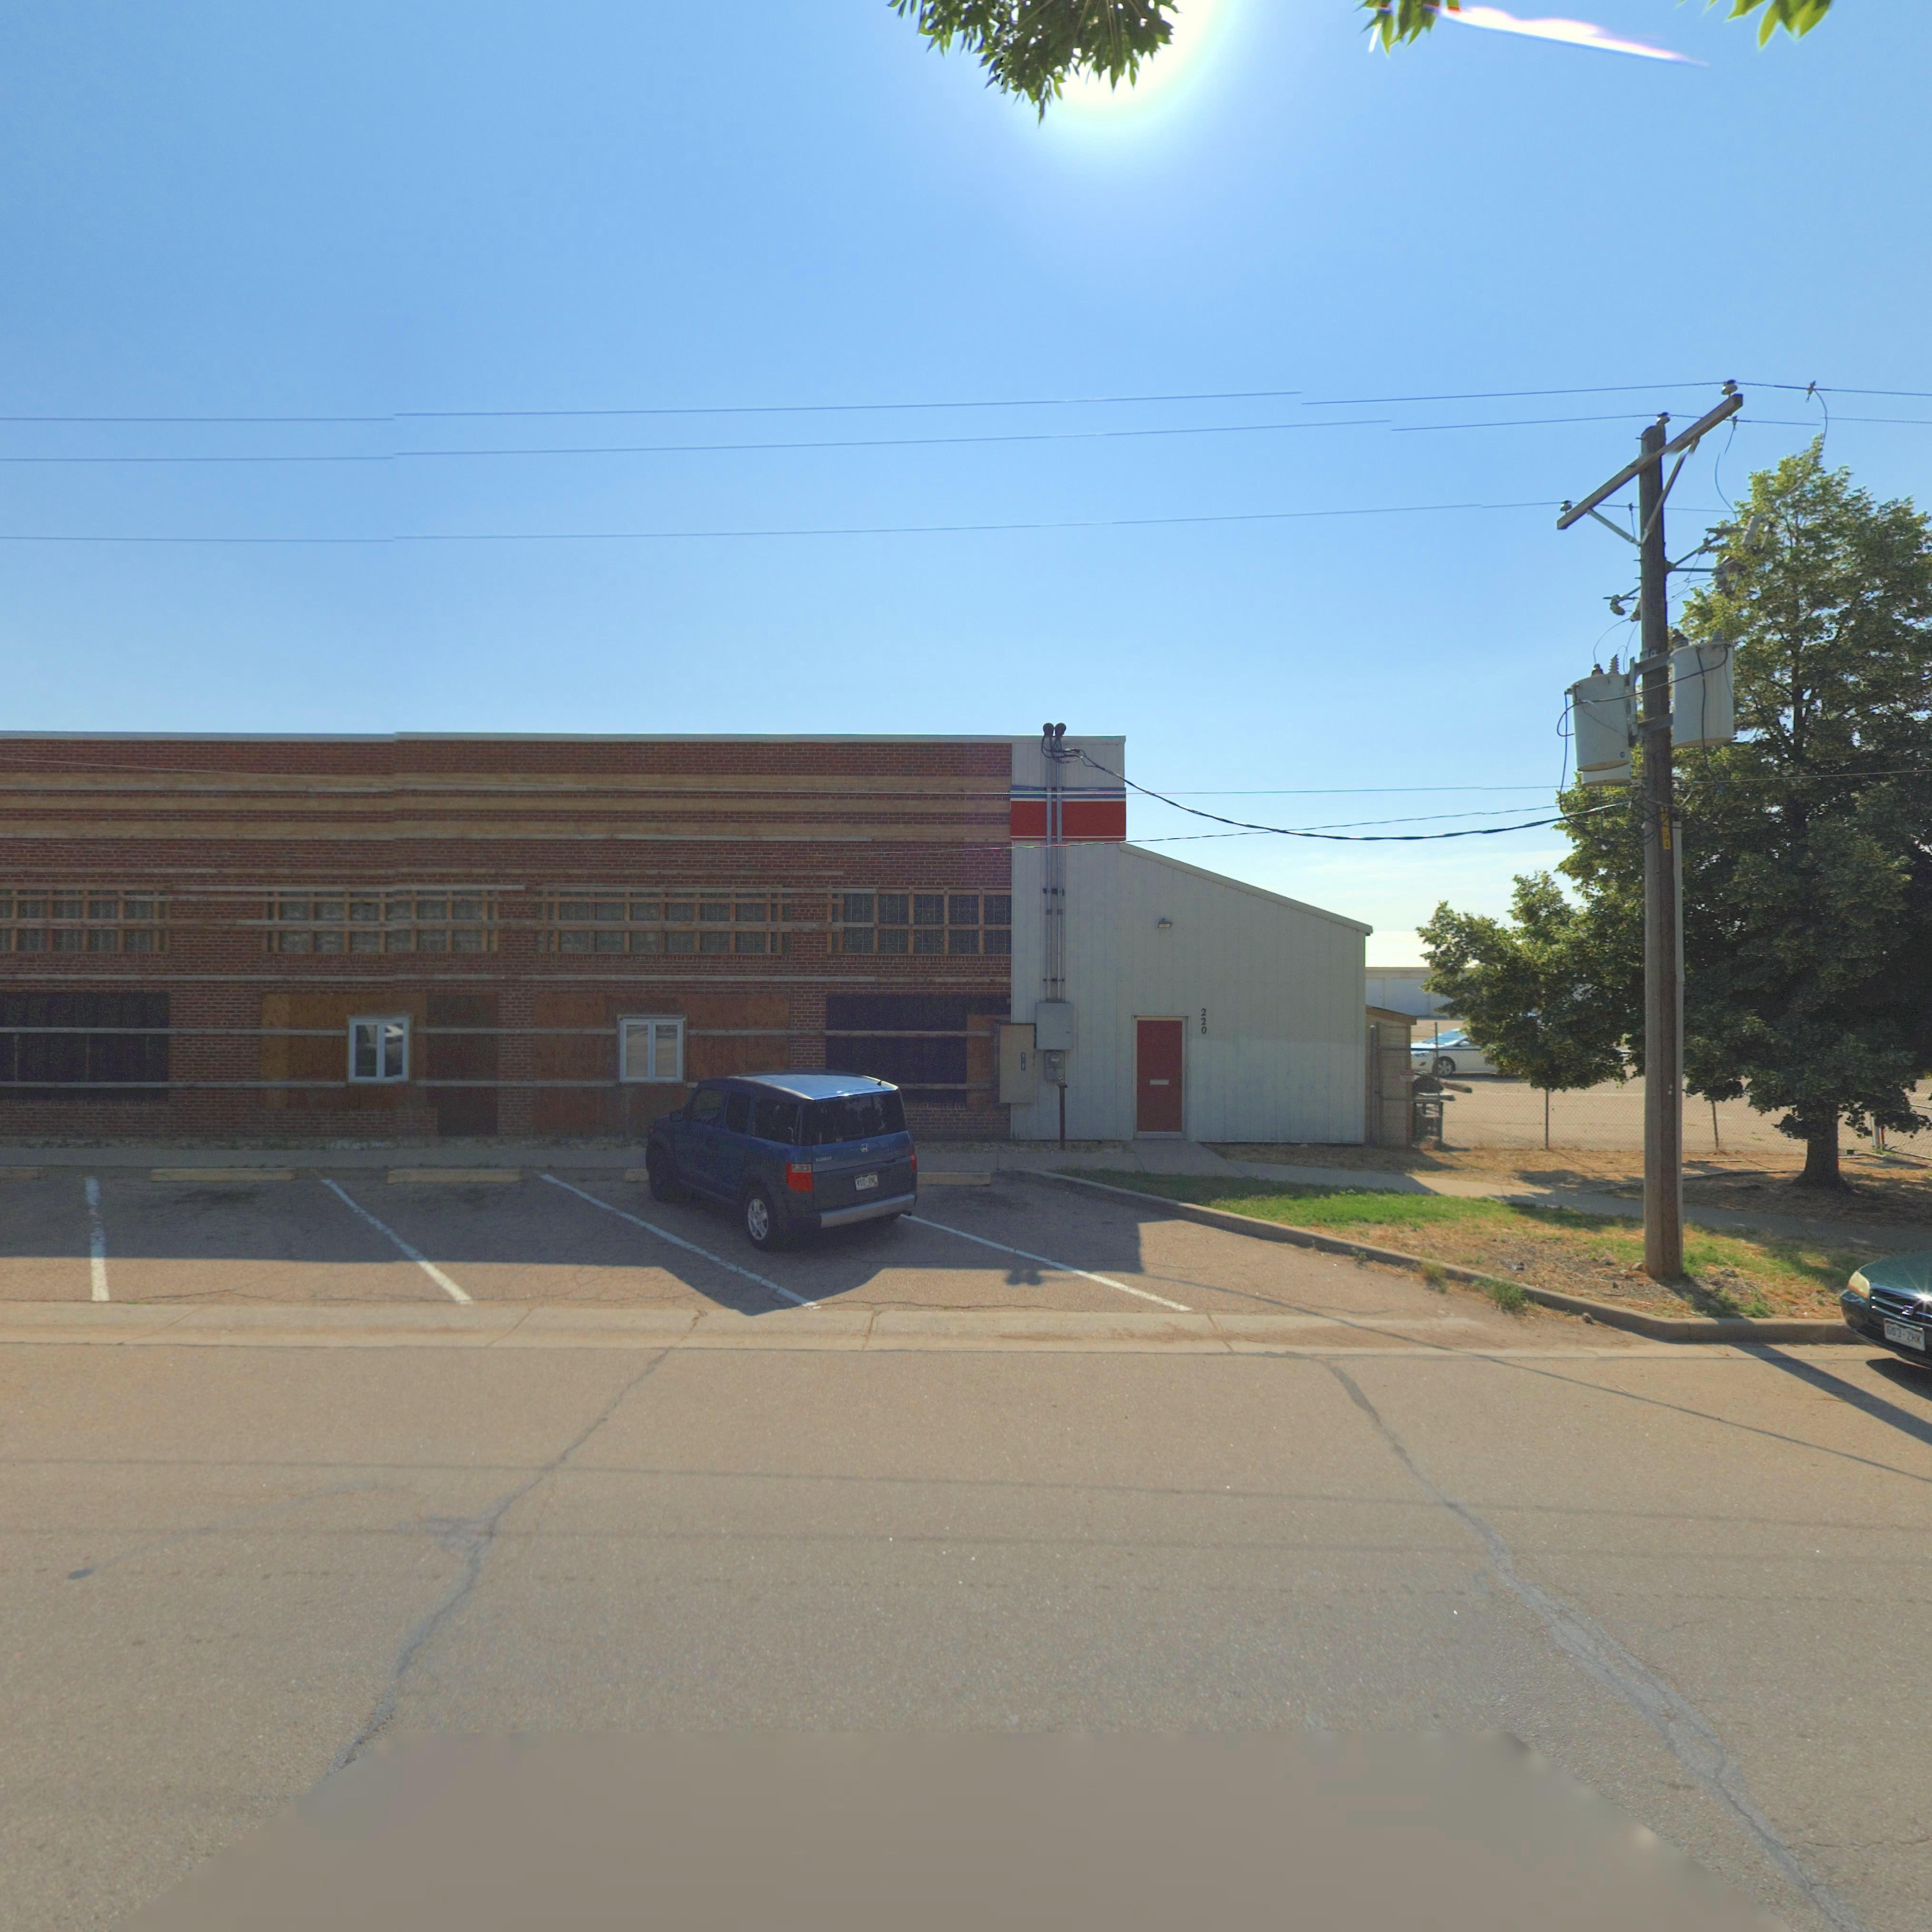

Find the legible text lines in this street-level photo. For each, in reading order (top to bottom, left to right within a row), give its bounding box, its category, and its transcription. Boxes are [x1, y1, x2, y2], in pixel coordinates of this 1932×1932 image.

[1200, 1007, 1207, 1034] StreetNumber: 220